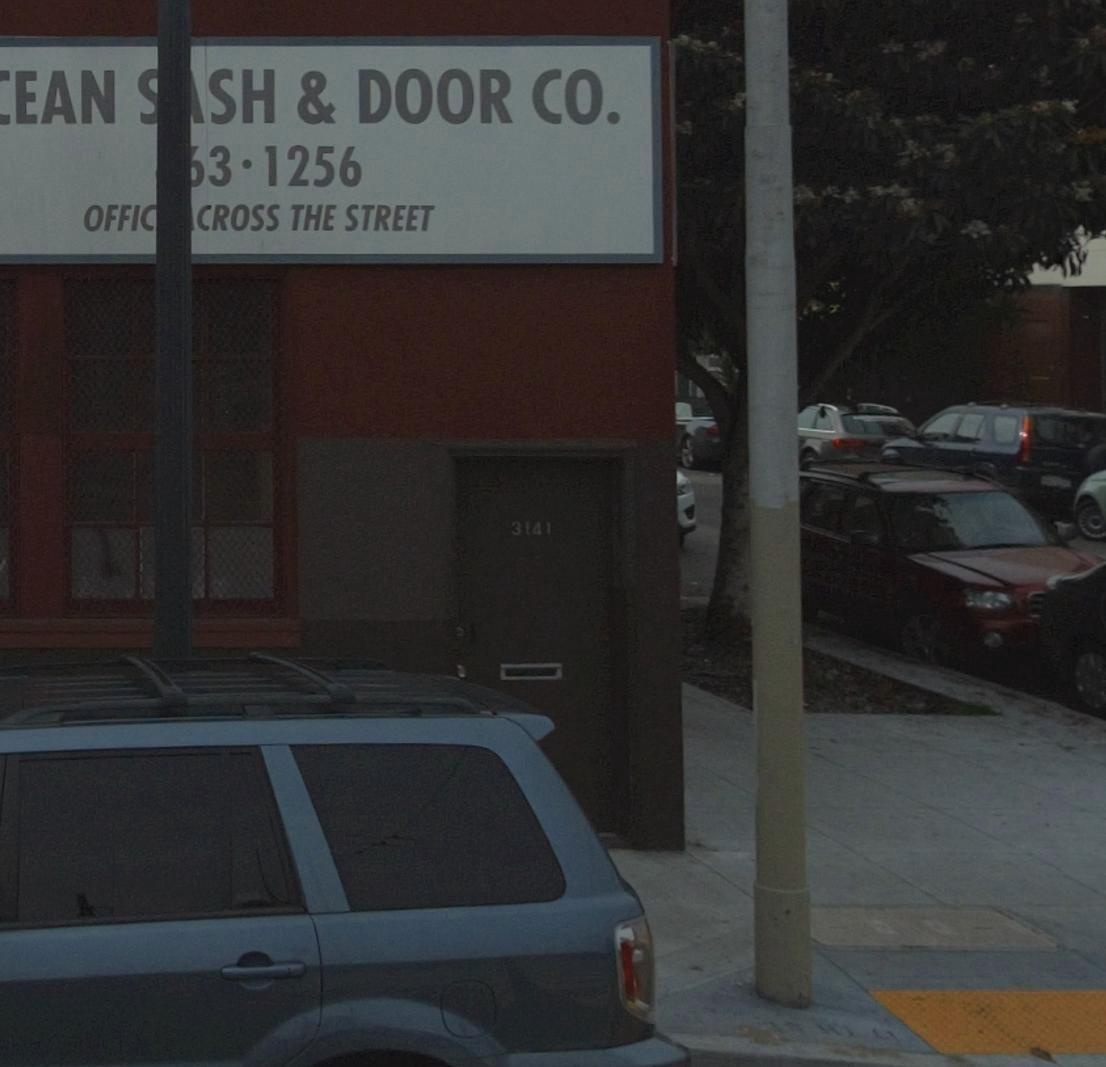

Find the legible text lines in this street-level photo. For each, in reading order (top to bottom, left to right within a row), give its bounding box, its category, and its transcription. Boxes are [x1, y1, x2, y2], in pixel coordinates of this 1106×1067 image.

[14, 66, 605, 126] BusinessName: EAN **SH & DOOR CO
[207, 143, 365, 189] None: 3*1256
[82, 203, 437, 233] None: OFFIC**CROSS THE STREET
[508, 519, 553, 537] StreetNumber: 3141